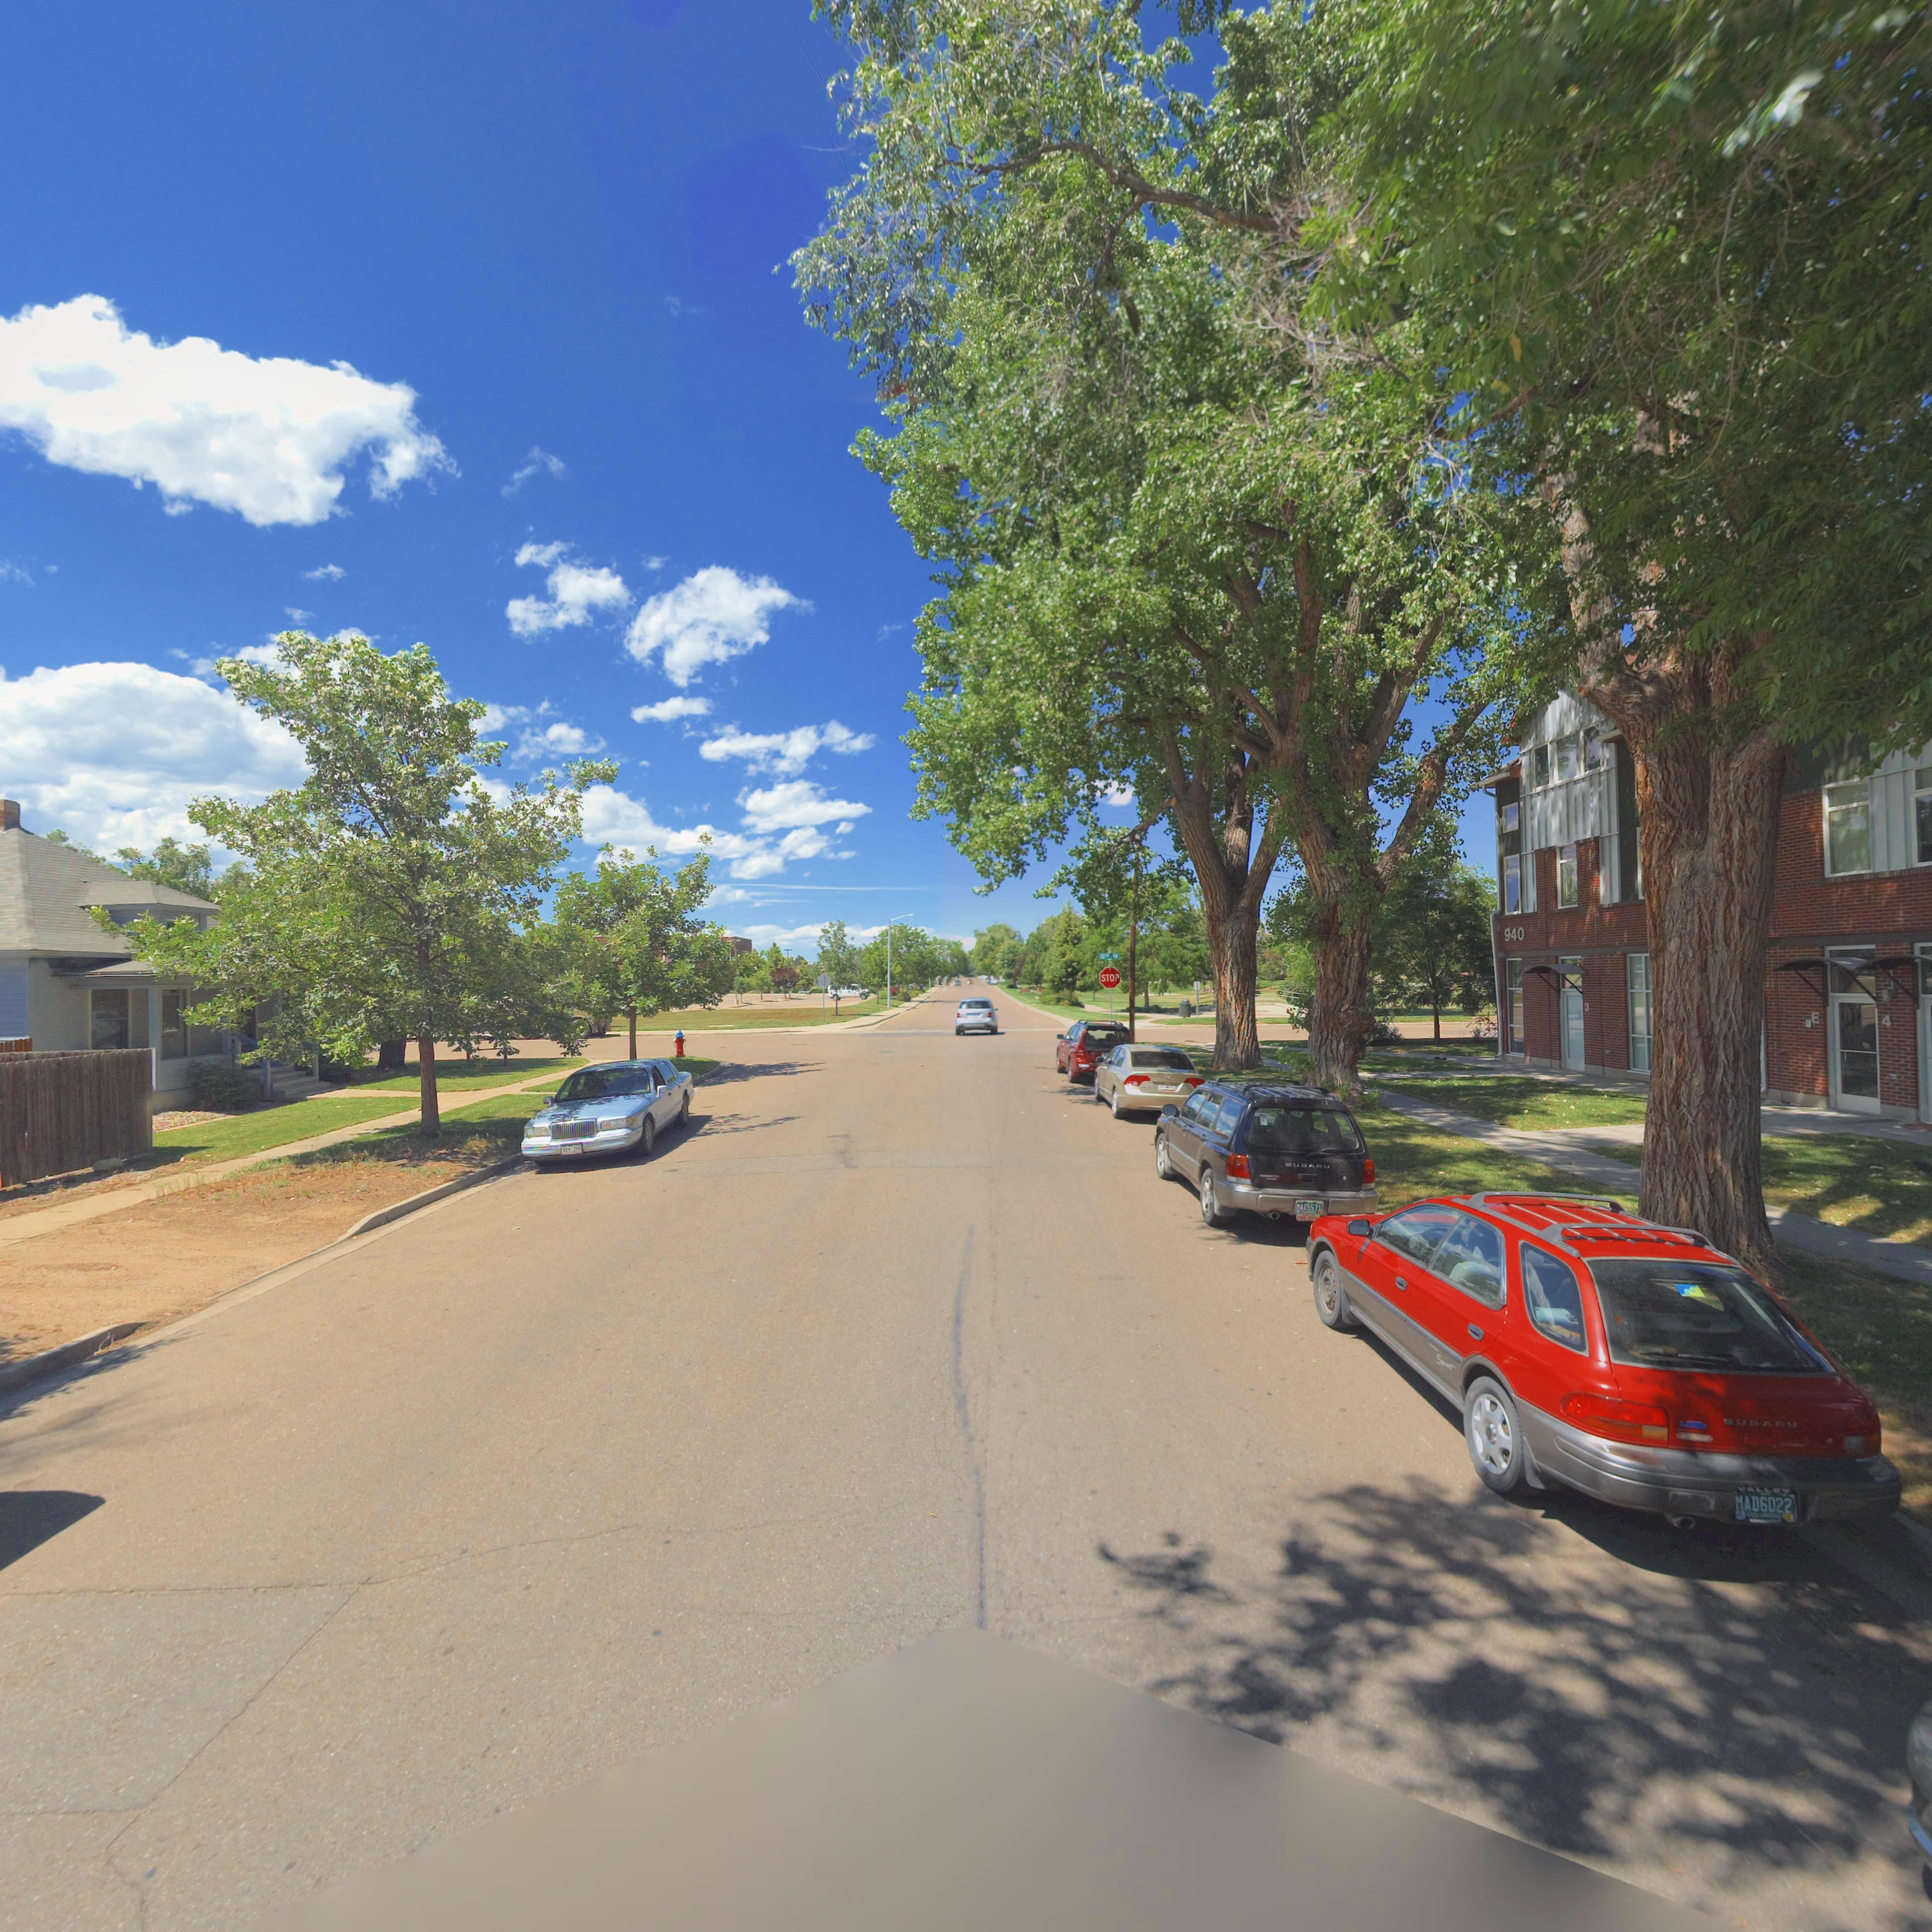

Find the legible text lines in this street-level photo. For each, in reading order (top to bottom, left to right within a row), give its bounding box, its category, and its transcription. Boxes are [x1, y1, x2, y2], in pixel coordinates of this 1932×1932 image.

[1504, 927, 1525, 942] StreetNumber: 940
[1100, 954, 1118, 959] StreetName: 1*** AV